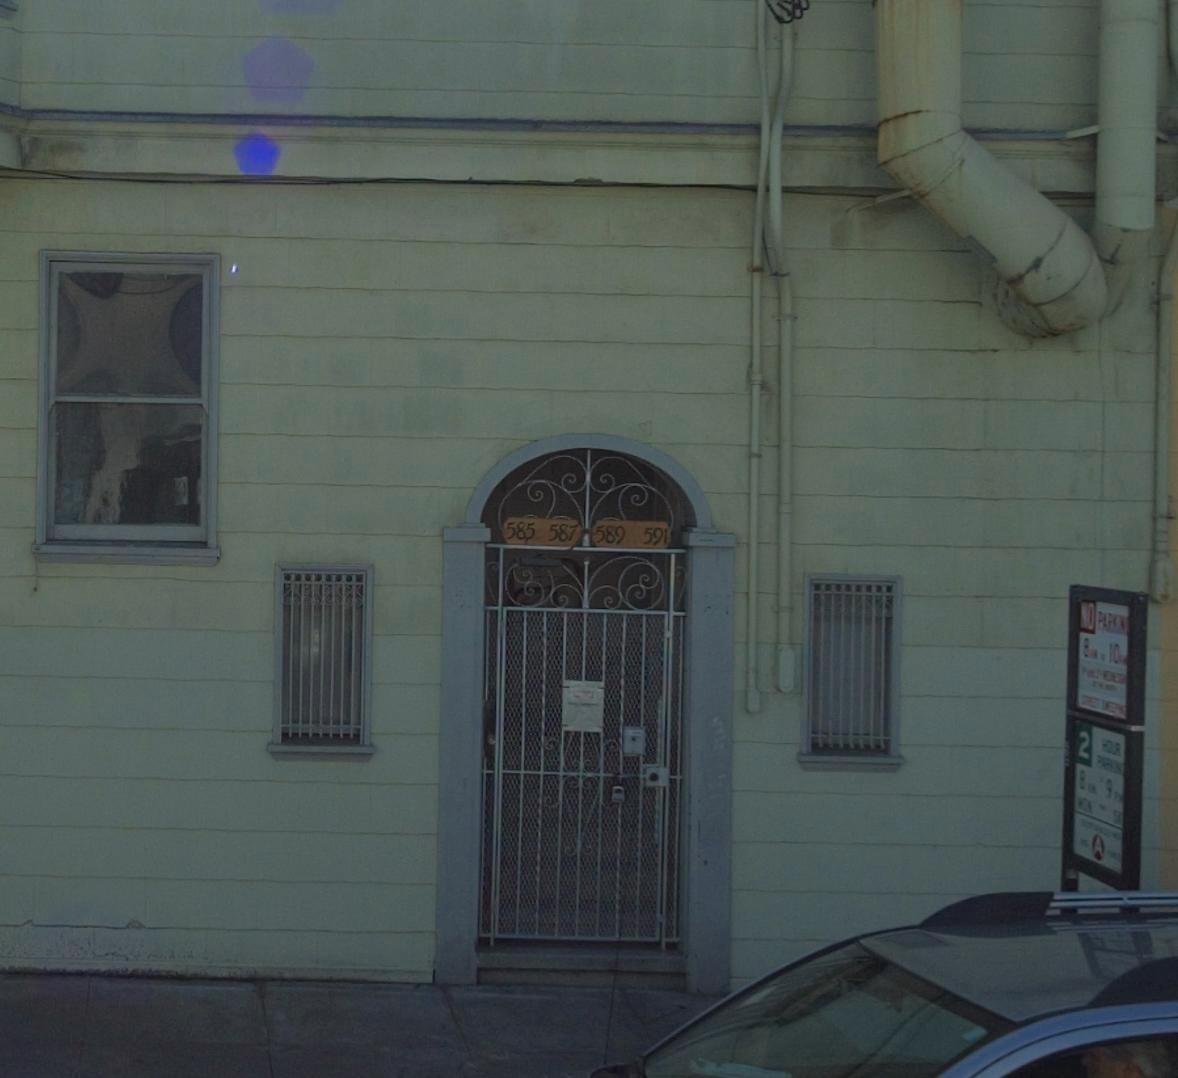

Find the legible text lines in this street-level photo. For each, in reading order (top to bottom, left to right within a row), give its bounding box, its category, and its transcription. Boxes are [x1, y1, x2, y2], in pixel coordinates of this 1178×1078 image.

[504, 521, 536, 541] StreetNumber: 585
[547, 523, 579, 542] StreetNumber: 587
[594, 524, 626, 545] StreetNumber: 589
[641, 524, 669, 545] StreetNumber: 591
[1079, 601, 1120, 635] None: NO PARK
[1083, 637, 1091, 660] None: 8
[1108, 641, 1121, 666] None: 10
[1077, 728, 1091, 763] None: 2
[1100, 735, 1122, 759] None: HOUR
[1096, 752, 1122, 775] None: PARKIN
[1078, 768, 1087, 792] None: 8
[1104, 777, 1115, 801] None: 9
[1075, 795, 1092, 816] None: MON
[1091, 835, 1104, 857] None: A